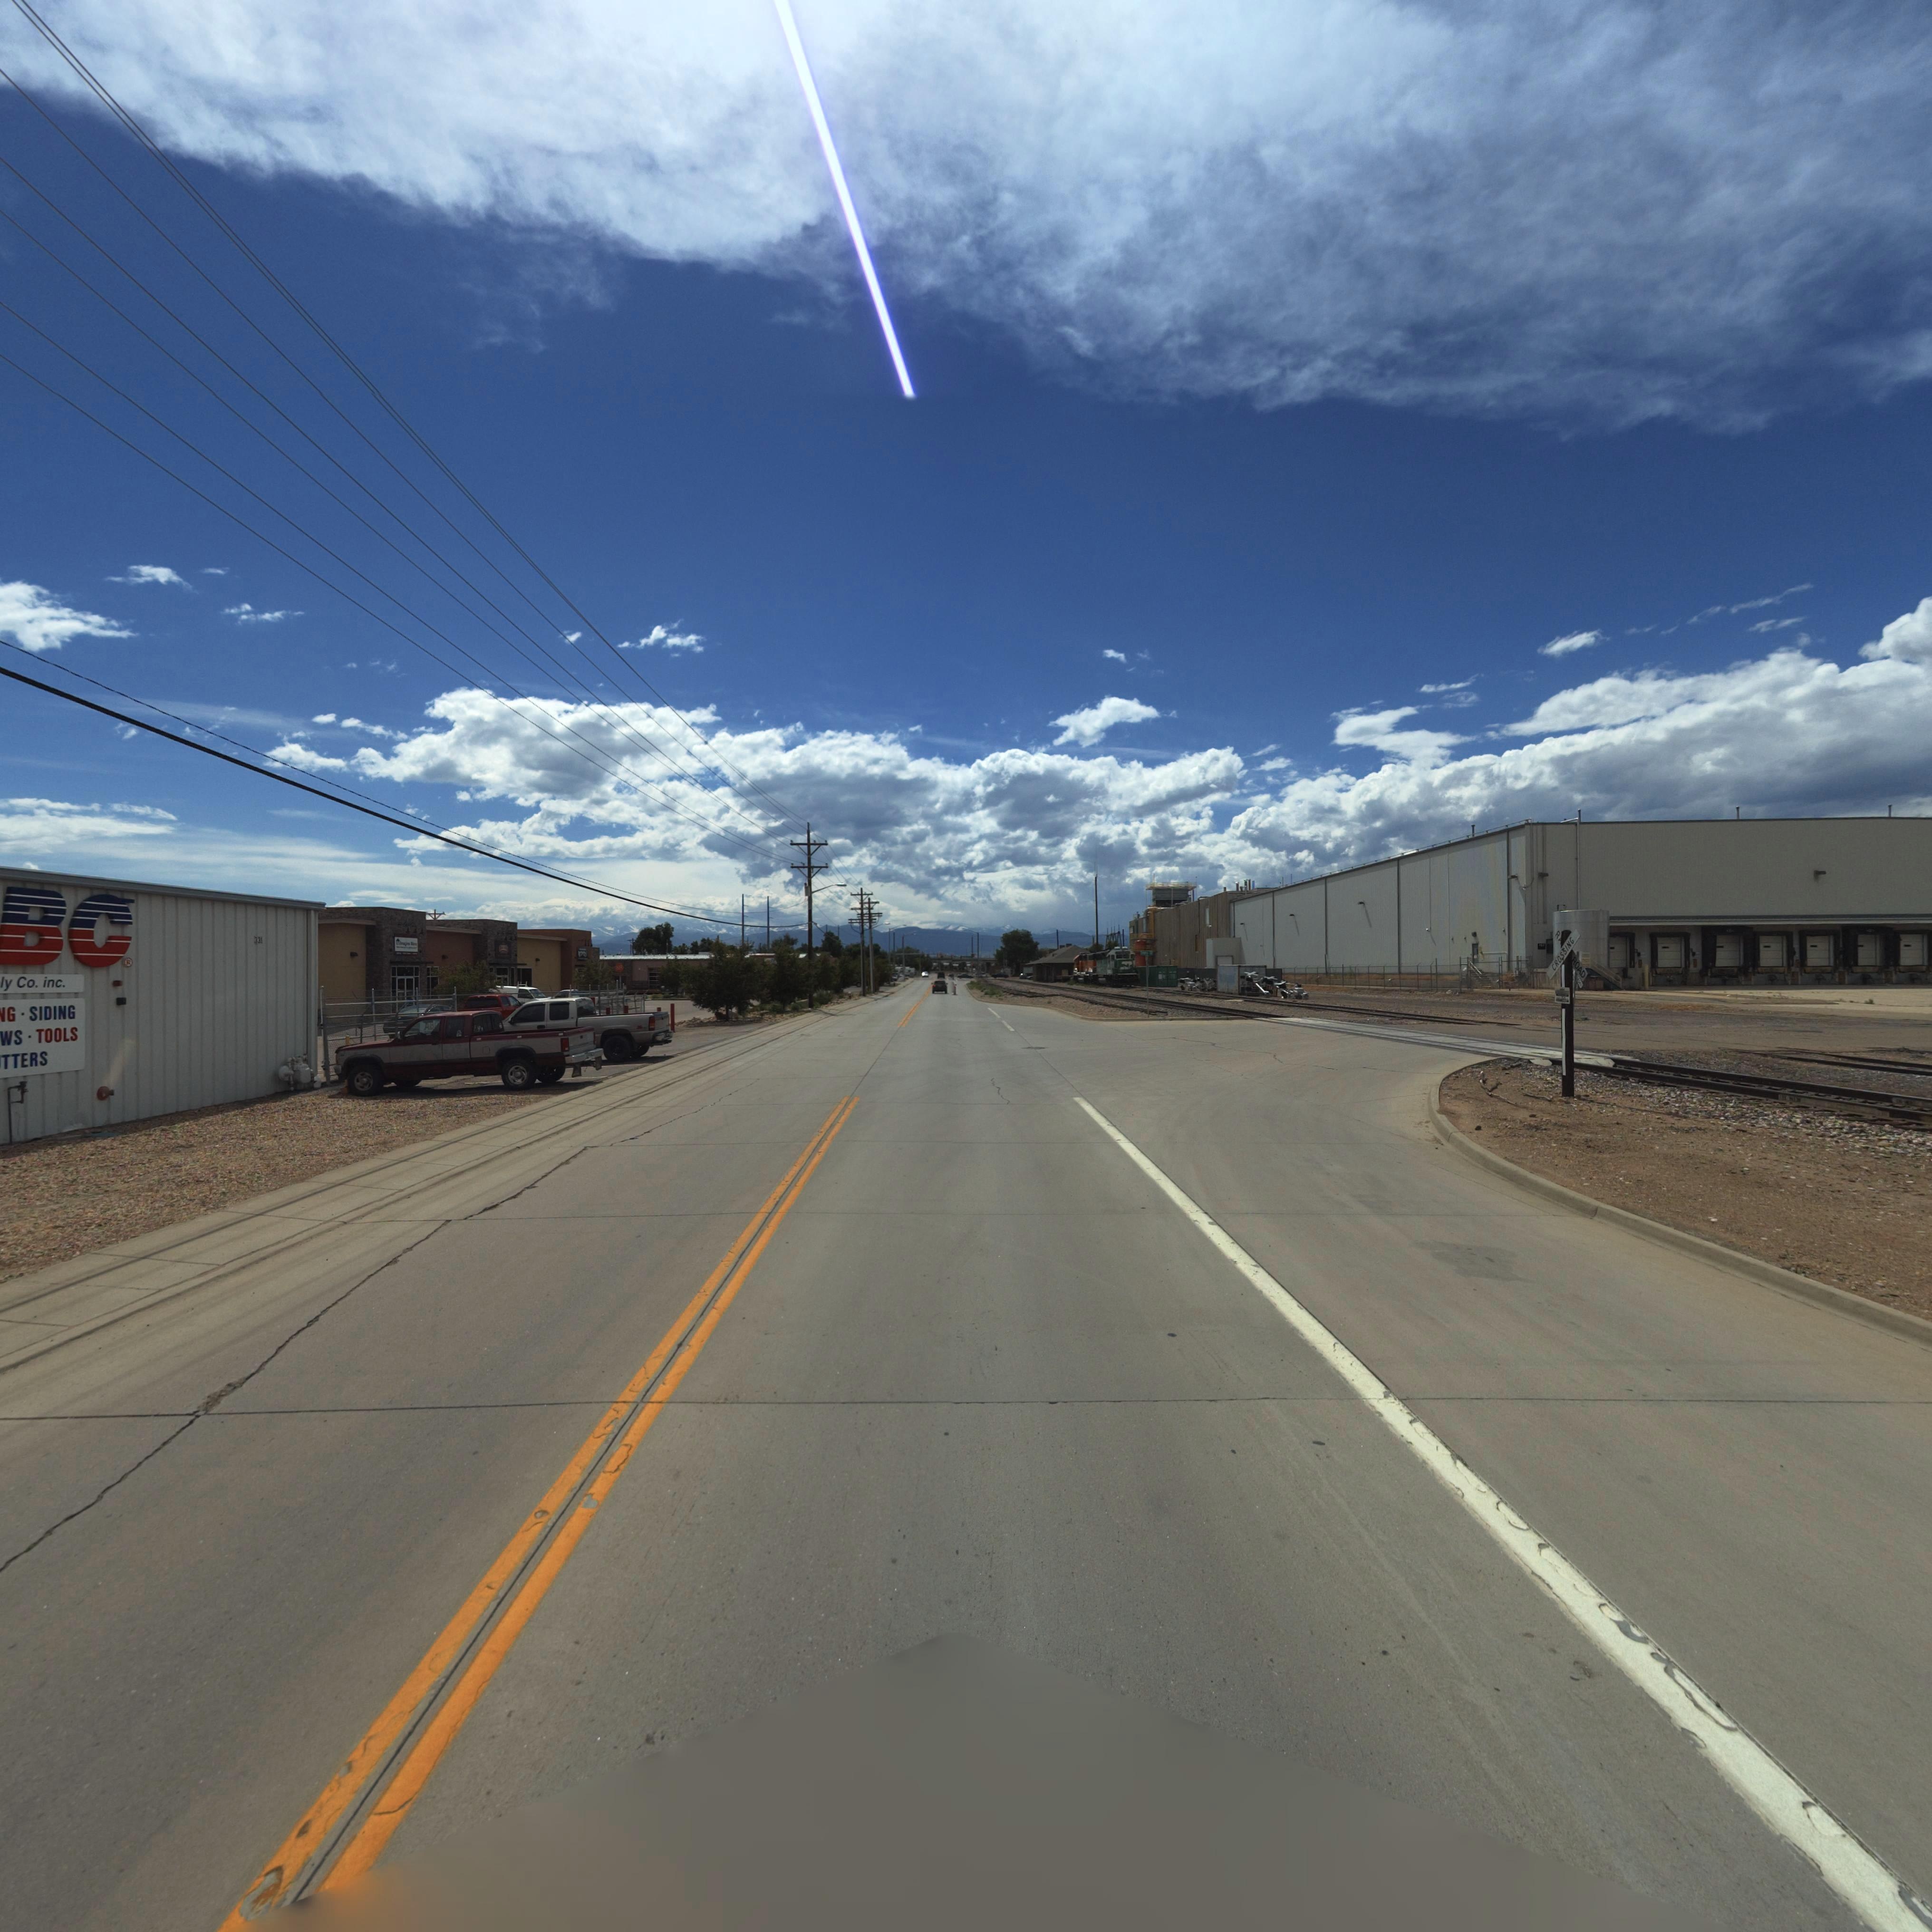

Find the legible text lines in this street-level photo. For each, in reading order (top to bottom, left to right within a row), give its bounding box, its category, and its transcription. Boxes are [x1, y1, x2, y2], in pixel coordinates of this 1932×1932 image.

[0, 885, 135, 970] BusinessName: BC
[253, 936, 262, 944] StreetNumber: 331
[577, 950, 588, 957] BusinessName: *OOS
[1140, 950, 1153, 955] StreetName: E***y S*
[0, 975, 66, 992] BusinessName: ly Co. inc.